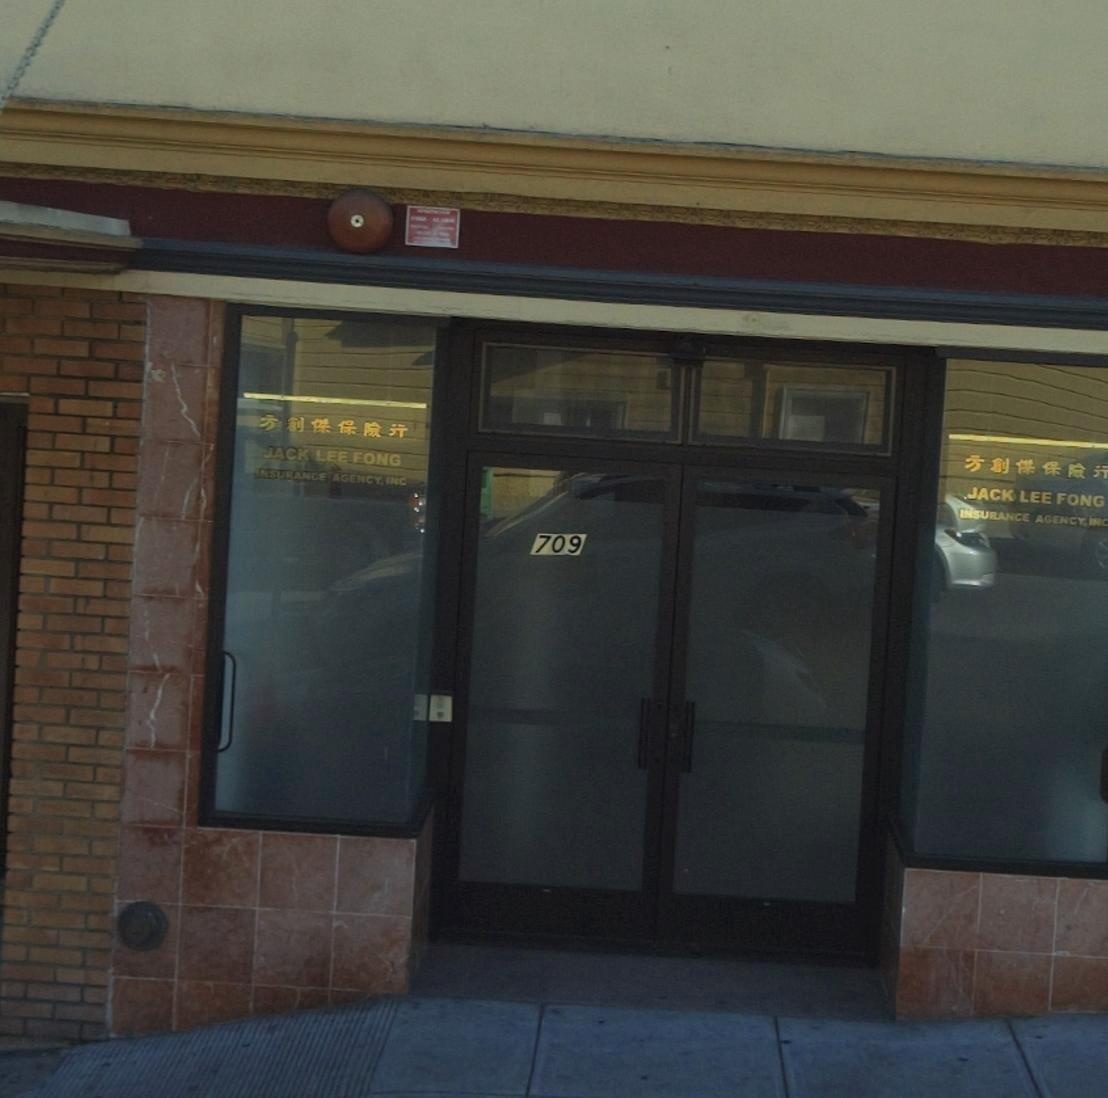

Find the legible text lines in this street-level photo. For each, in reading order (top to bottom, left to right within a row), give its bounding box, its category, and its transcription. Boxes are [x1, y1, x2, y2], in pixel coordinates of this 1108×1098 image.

[260, 444, 402, 469] BusinessName: JACK LEE FONG
[253, 466, 407, 488] BusinessName: INSURANCE AGENCY, INC
[963, 485, 1107, 509] BusinessName: JACK LEE FONG
[957, 507, 1108, 528] BusinessName: INSURANCE AGENCY, INC
[529, 532, 587, 556] StreetNumber: 709